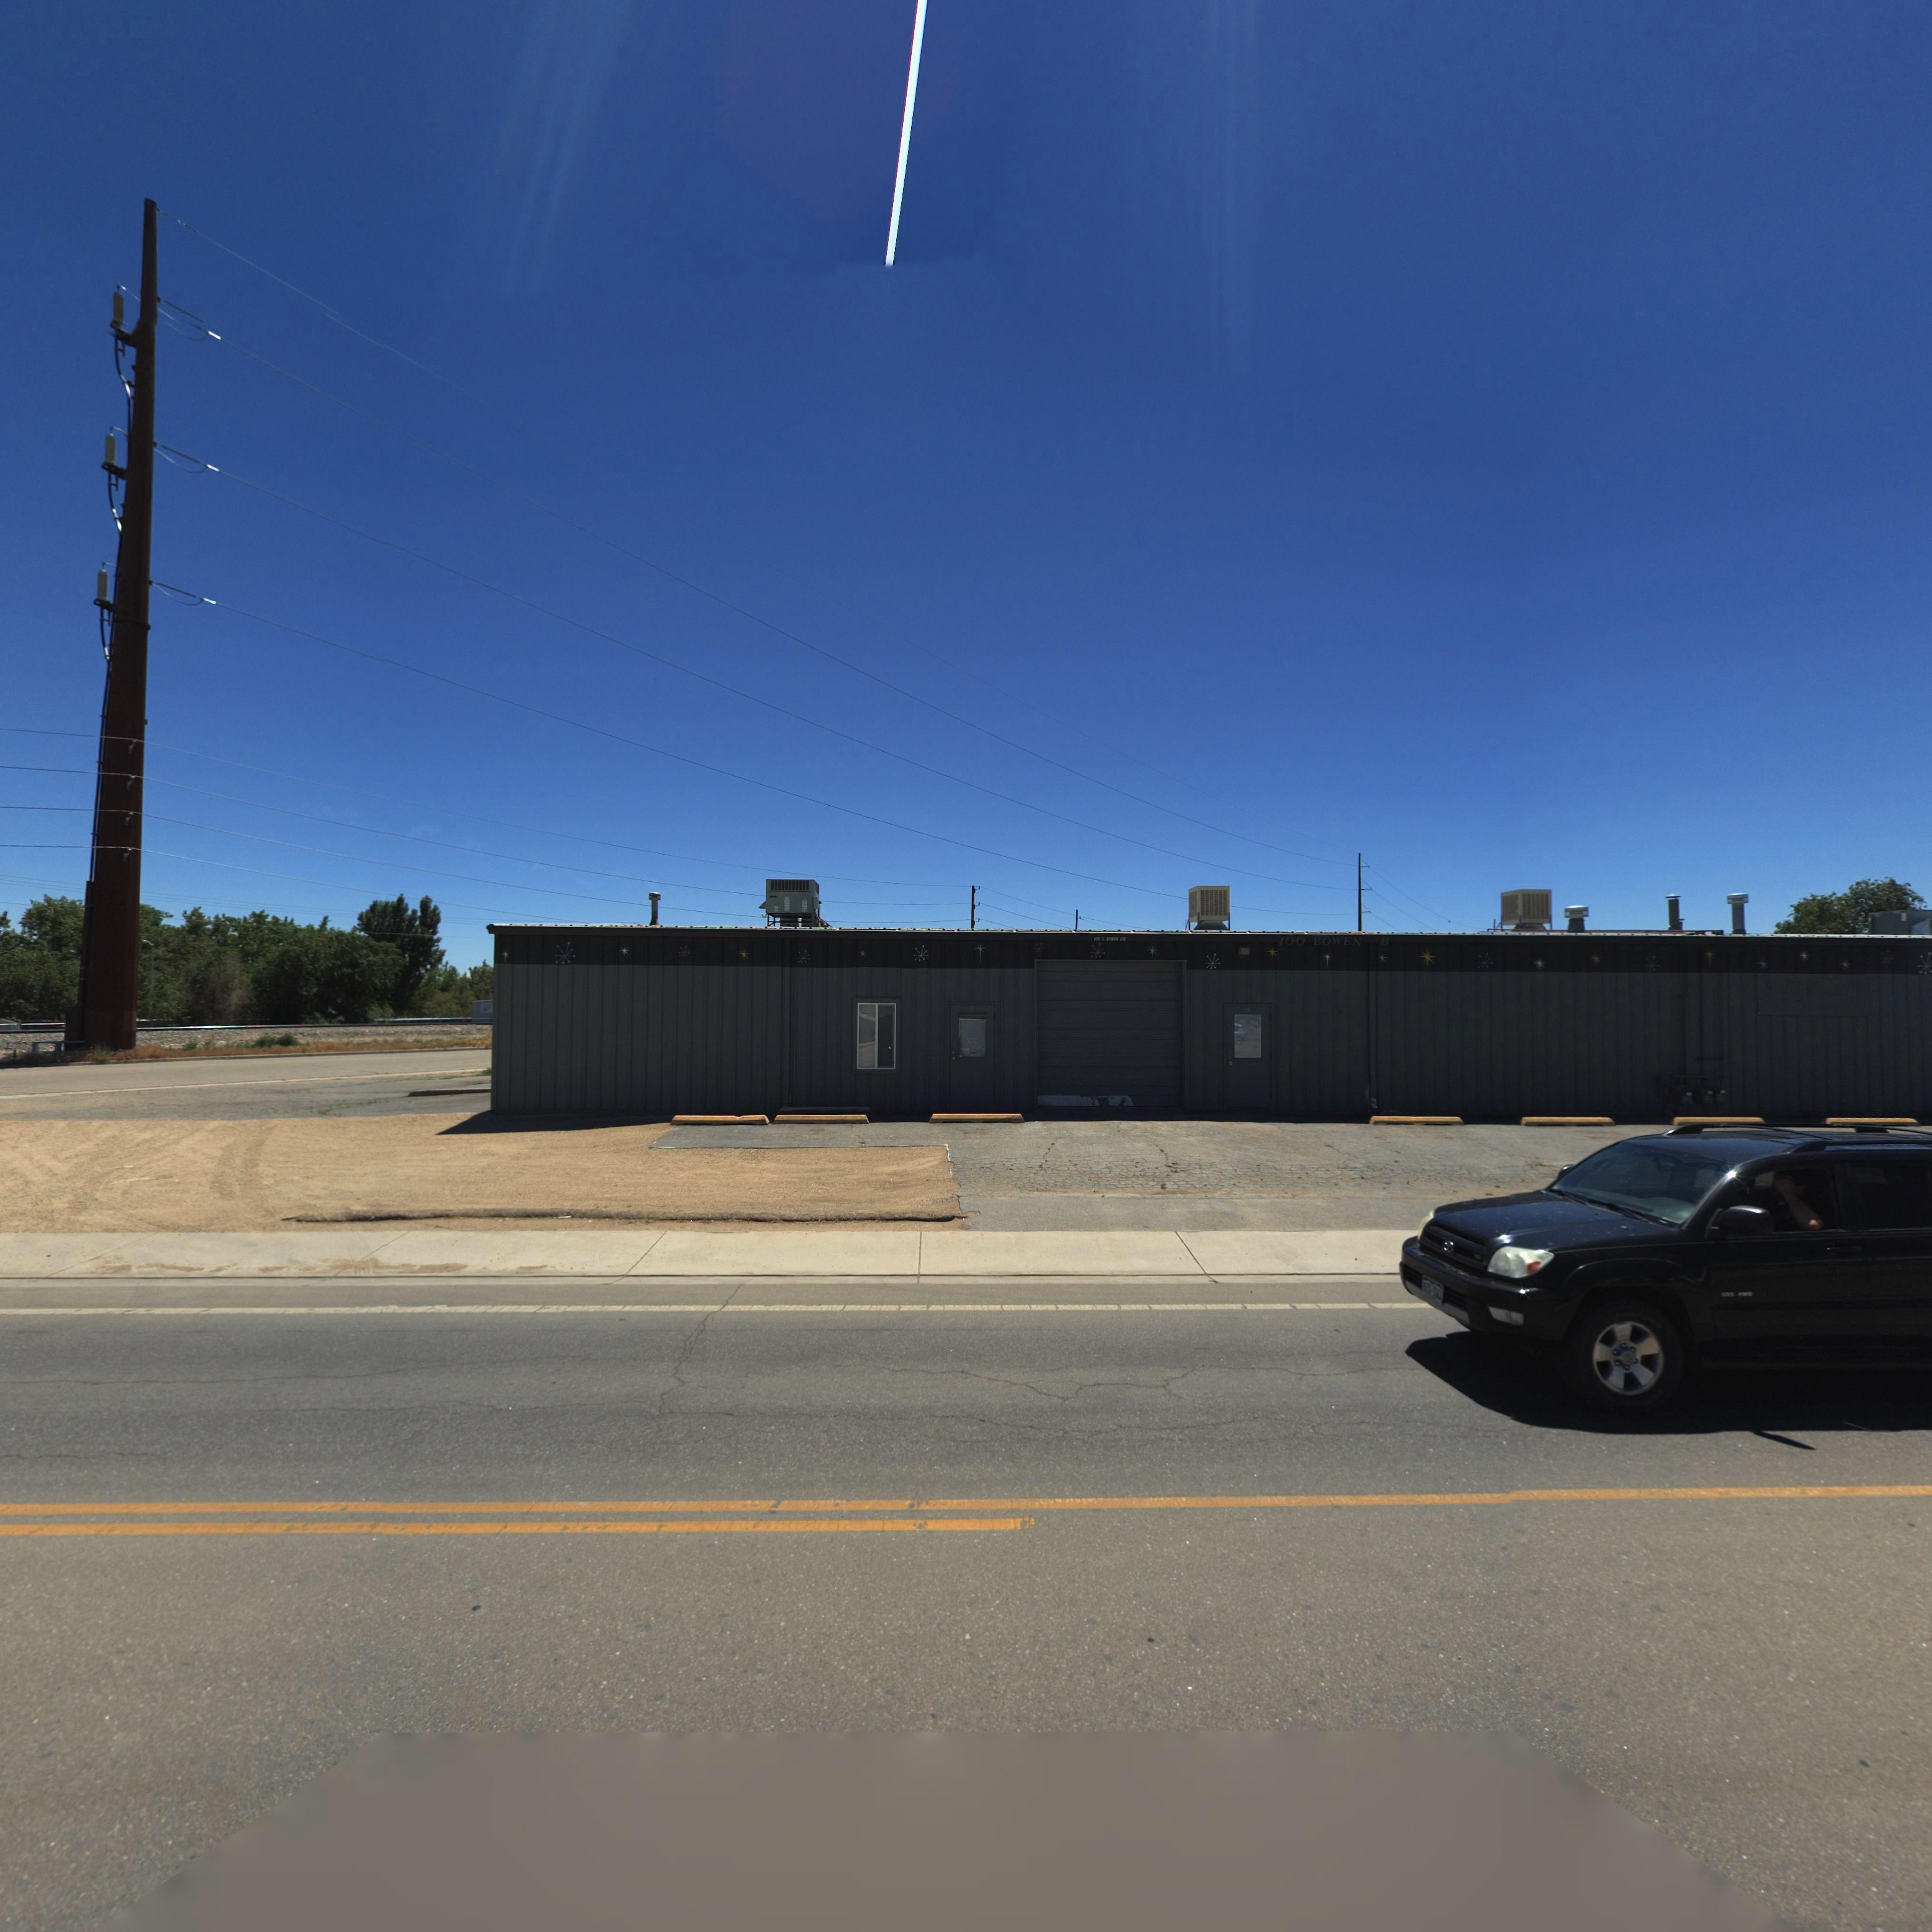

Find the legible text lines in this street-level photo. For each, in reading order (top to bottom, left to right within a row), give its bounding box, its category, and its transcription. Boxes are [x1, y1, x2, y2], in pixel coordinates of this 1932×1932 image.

[1093, 937, 1101, 941] StreetNumber: 100
[1101, 937, 1126, 941] StreetName: S BOWEN CIR
[1278, 936, 1305, 945] StreetNumber: 100
[1314, 937, 1362, 946] StreetName: BOWEN